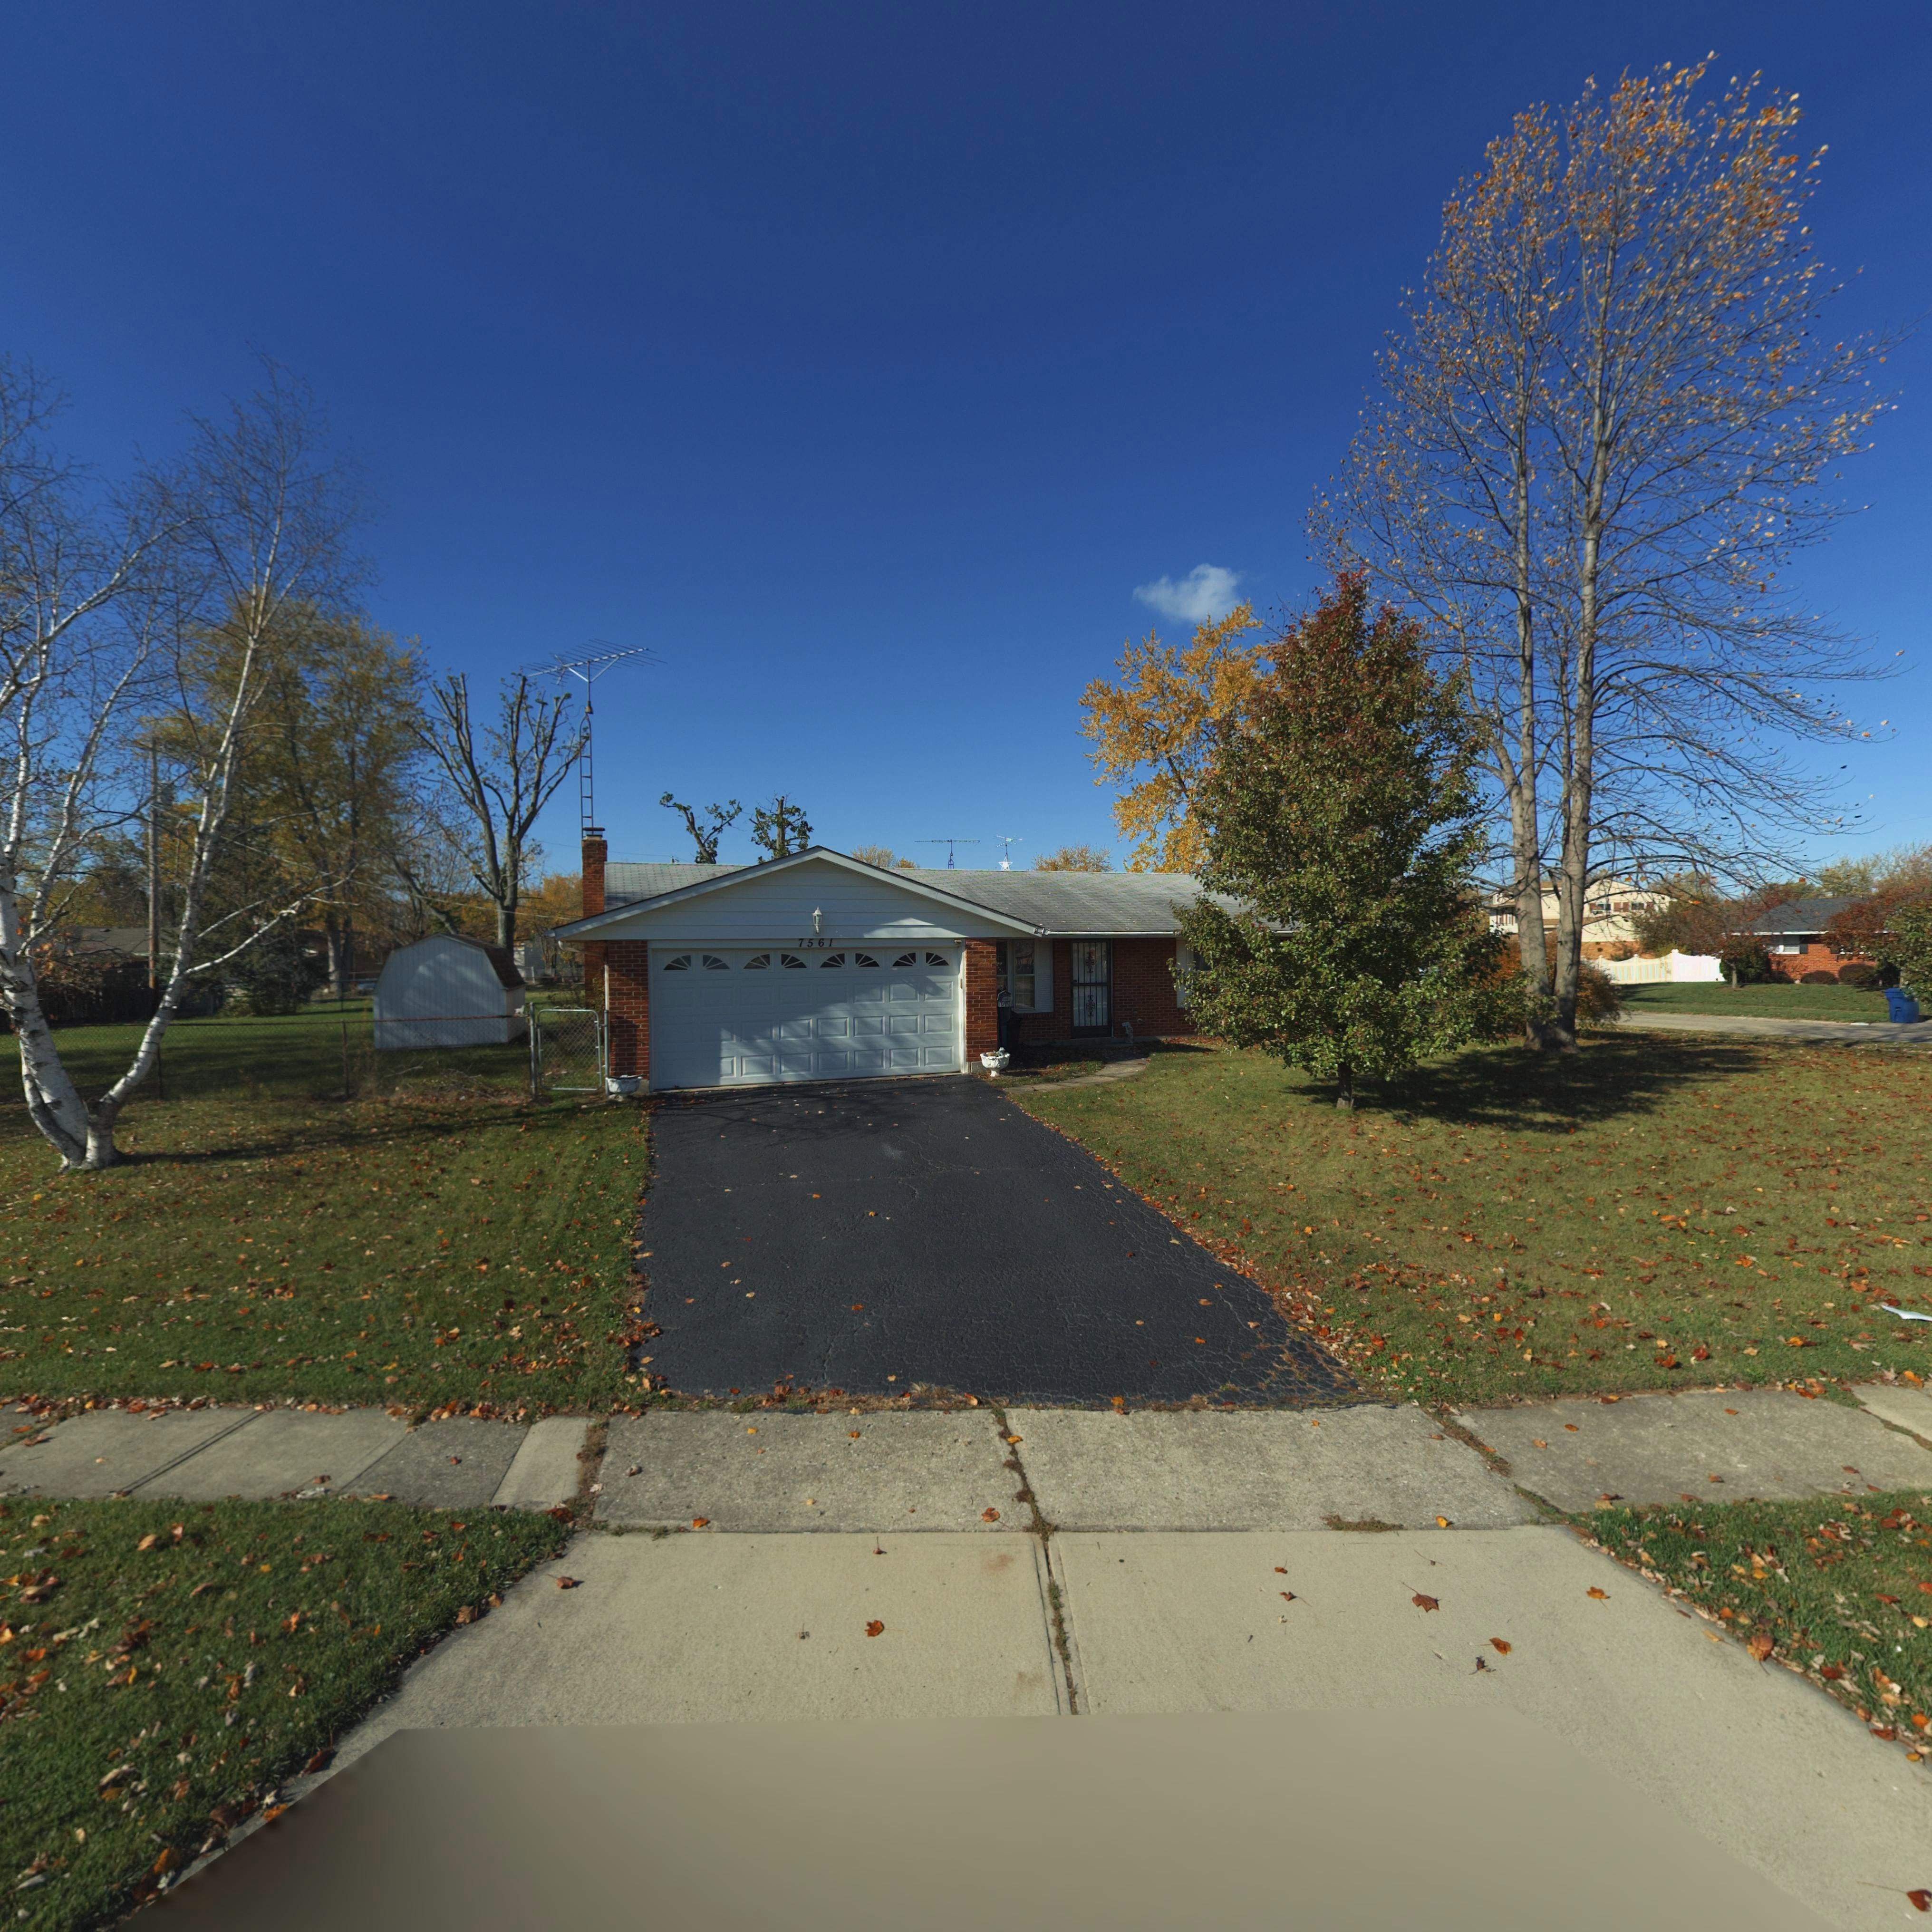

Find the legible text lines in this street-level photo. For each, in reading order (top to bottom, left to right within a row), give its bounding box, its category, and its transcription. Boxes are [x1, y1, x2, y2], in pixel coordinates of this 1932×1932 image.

[798, 937, 834, 947] StreetNumber: 7561